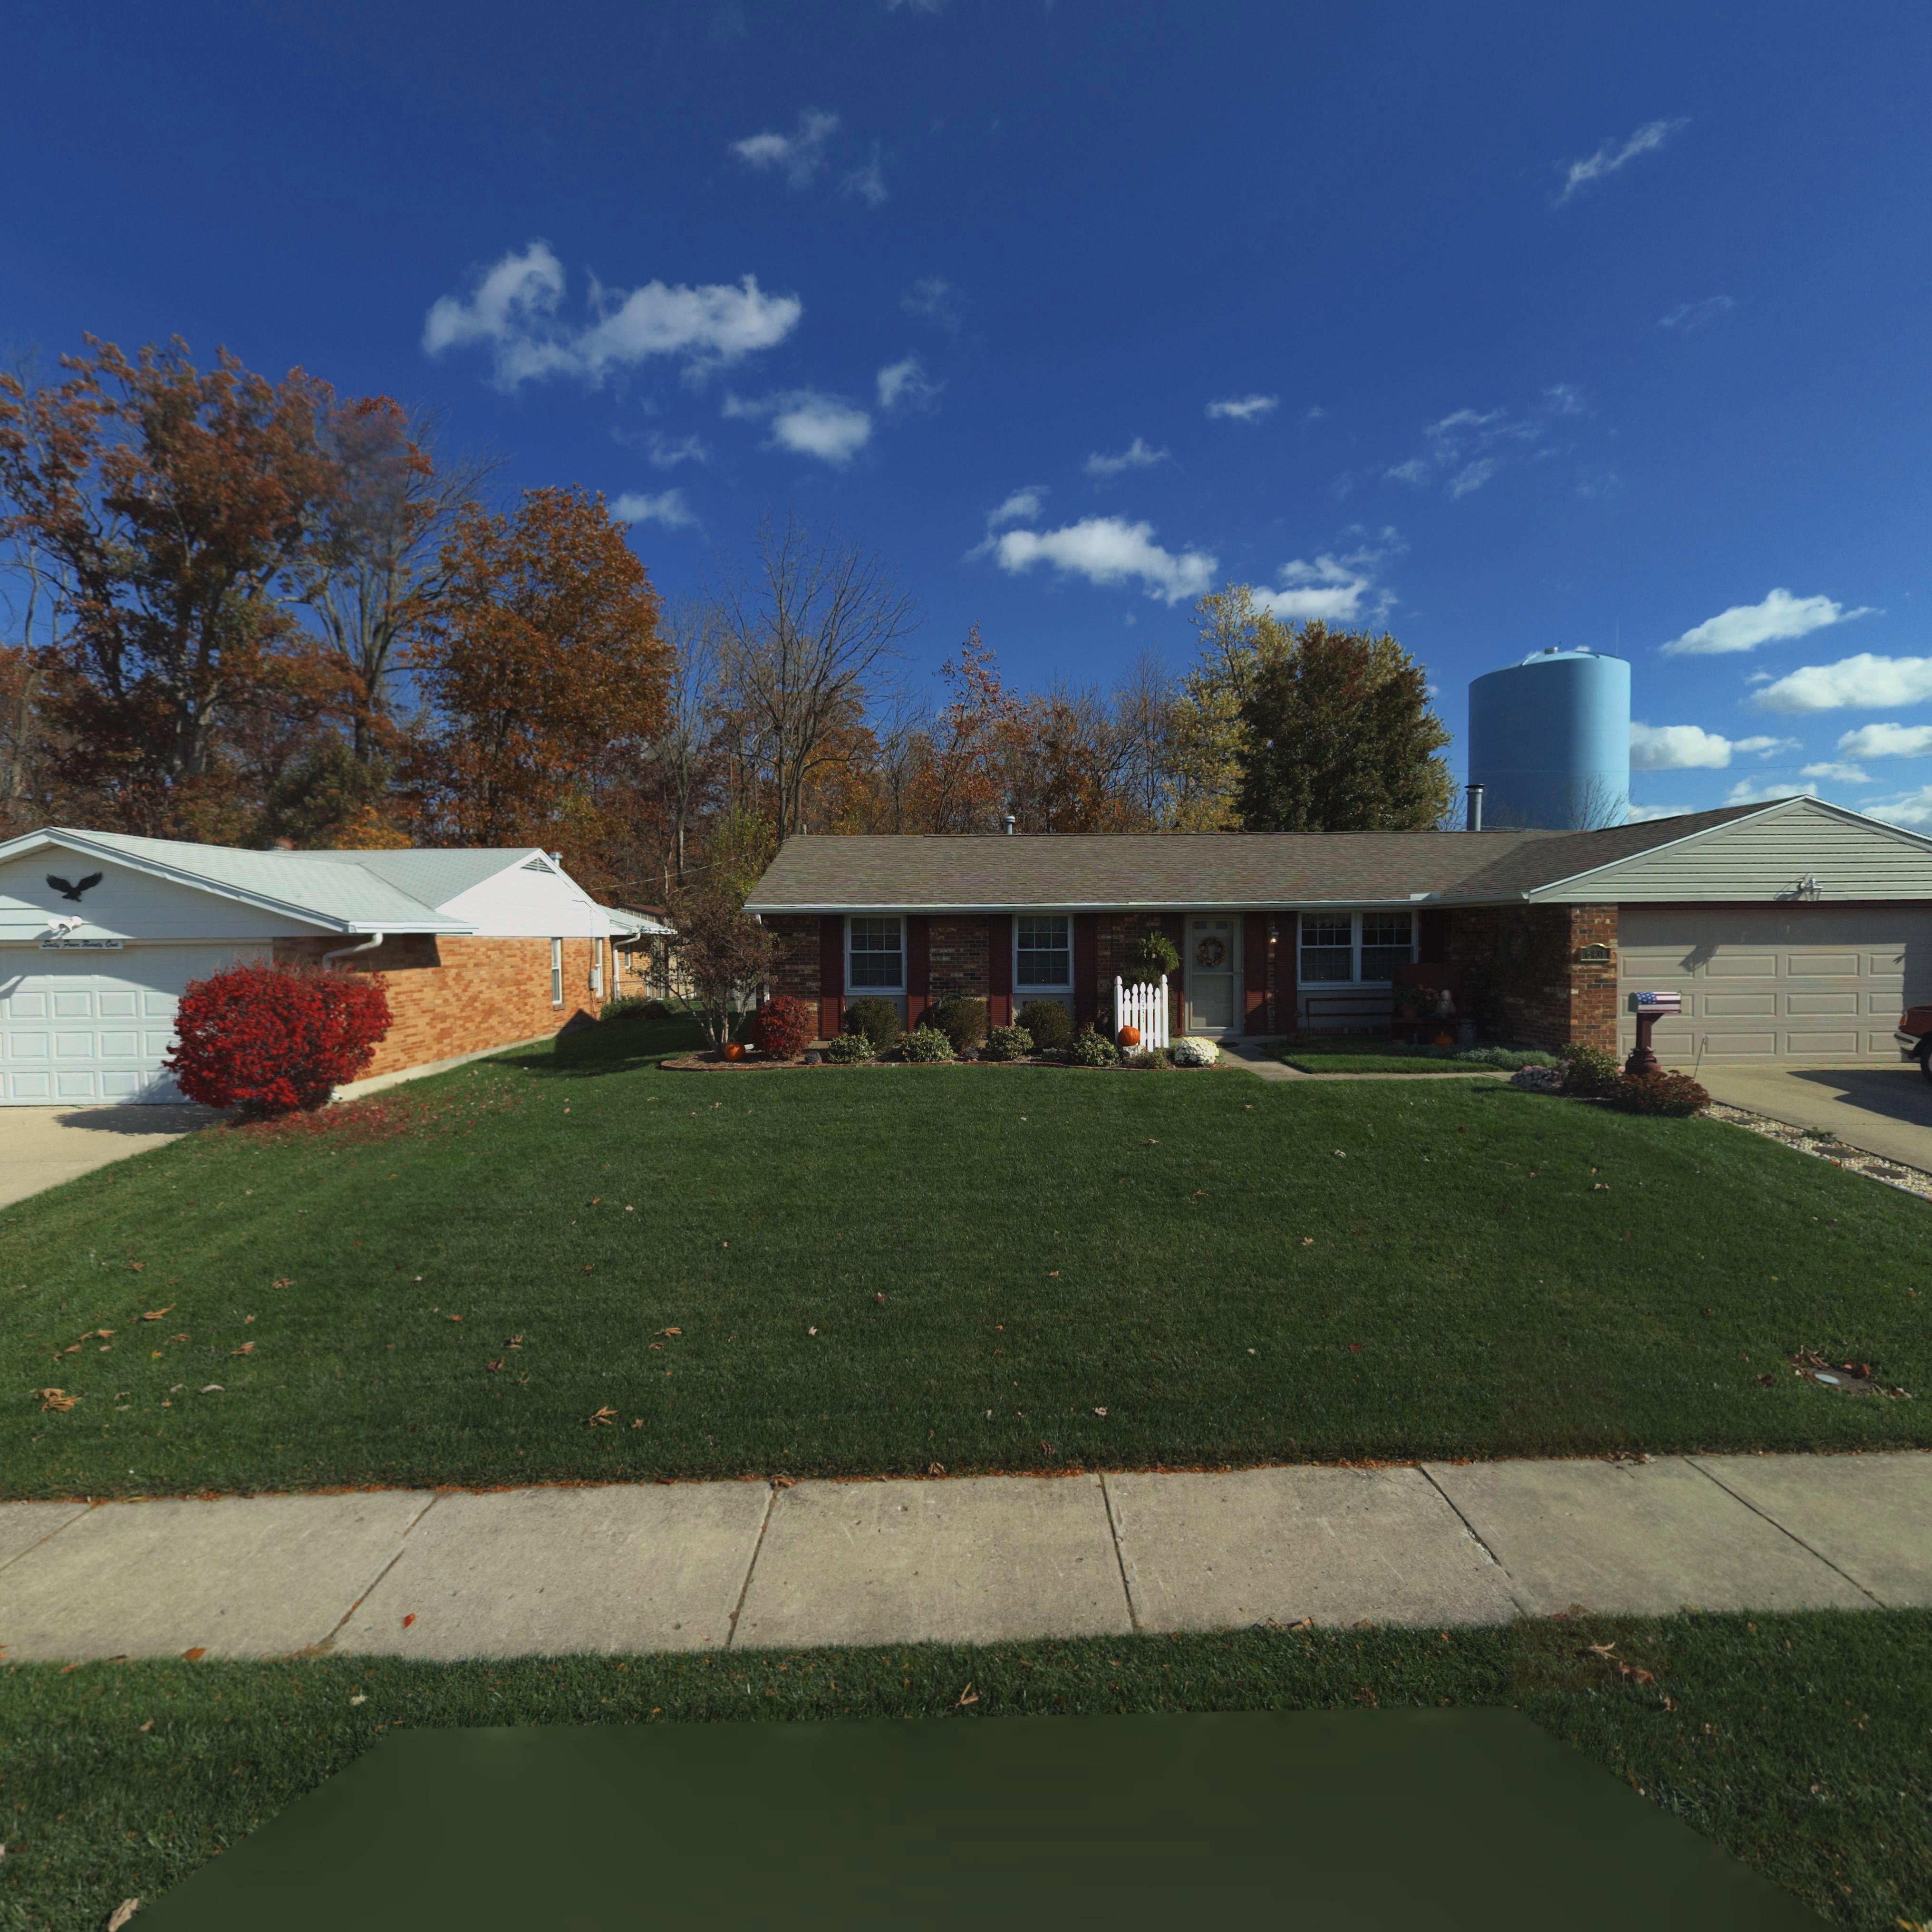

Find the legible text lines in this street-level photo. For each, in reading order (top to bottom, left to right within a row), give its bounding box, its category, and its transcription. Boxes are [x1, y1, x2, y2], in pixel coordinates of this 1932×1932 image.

[41, 939, 119, 949] StreetNumber: Sixty Four Twenty One
[1584, 948, 1605, 959] StreetNumber: 6431
[1140, 993, 1145, 1024] StreetNumber: 6431